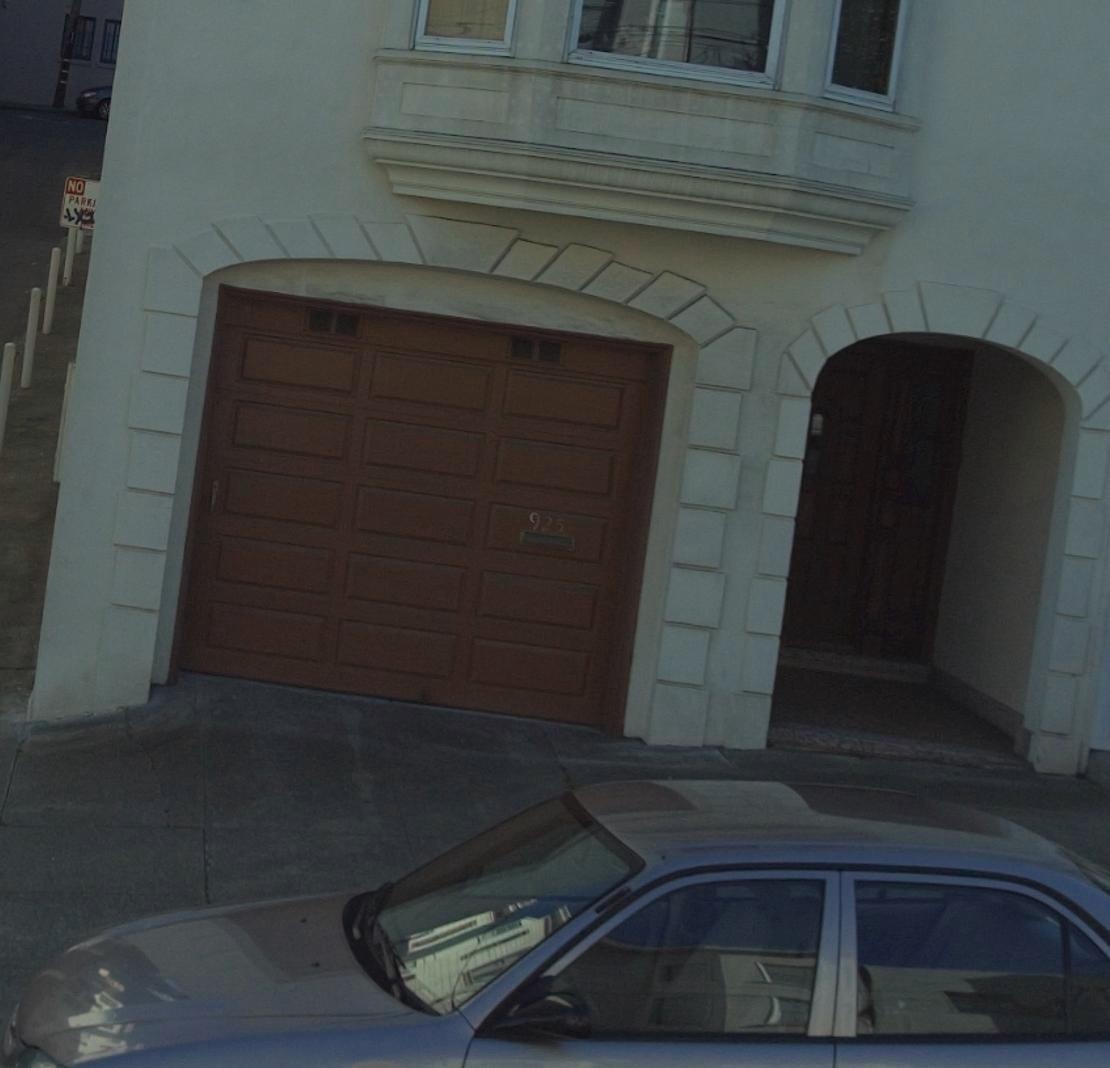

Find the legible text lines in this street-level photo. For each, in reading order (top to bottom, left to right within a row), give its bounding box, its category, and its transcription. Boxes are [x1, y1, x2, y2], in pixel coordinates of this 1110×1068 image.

[66, 178, 86, 195] None: NO
[66, 194, 98, 209] None: PARKI
[526, 509, 568, 536] StreetNumber: 925